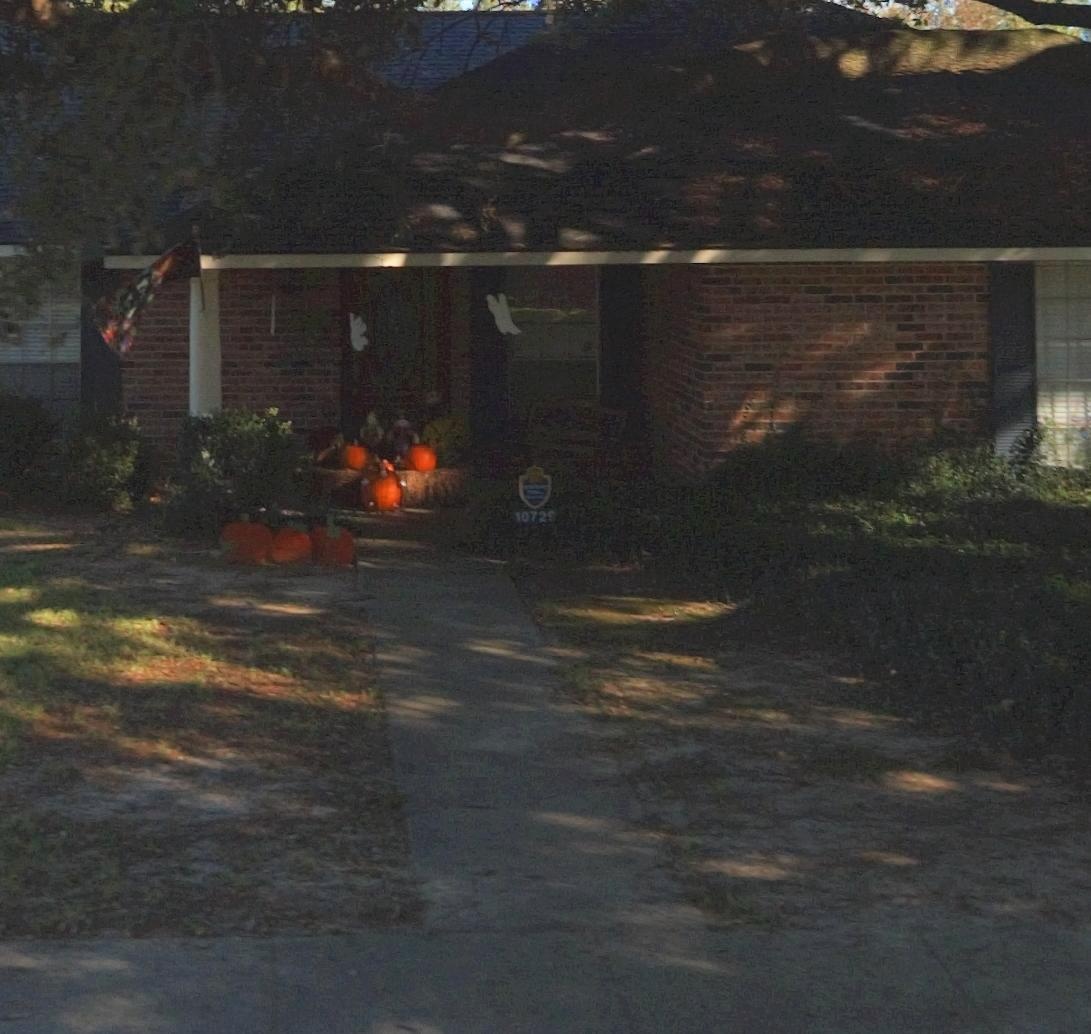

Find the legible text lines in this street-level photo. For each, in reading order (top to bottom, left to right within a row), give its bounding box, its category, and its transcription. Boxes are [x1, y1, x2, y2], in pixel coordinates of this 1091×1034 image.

[513, 509, 558, 524] StreetNumber: 1072*